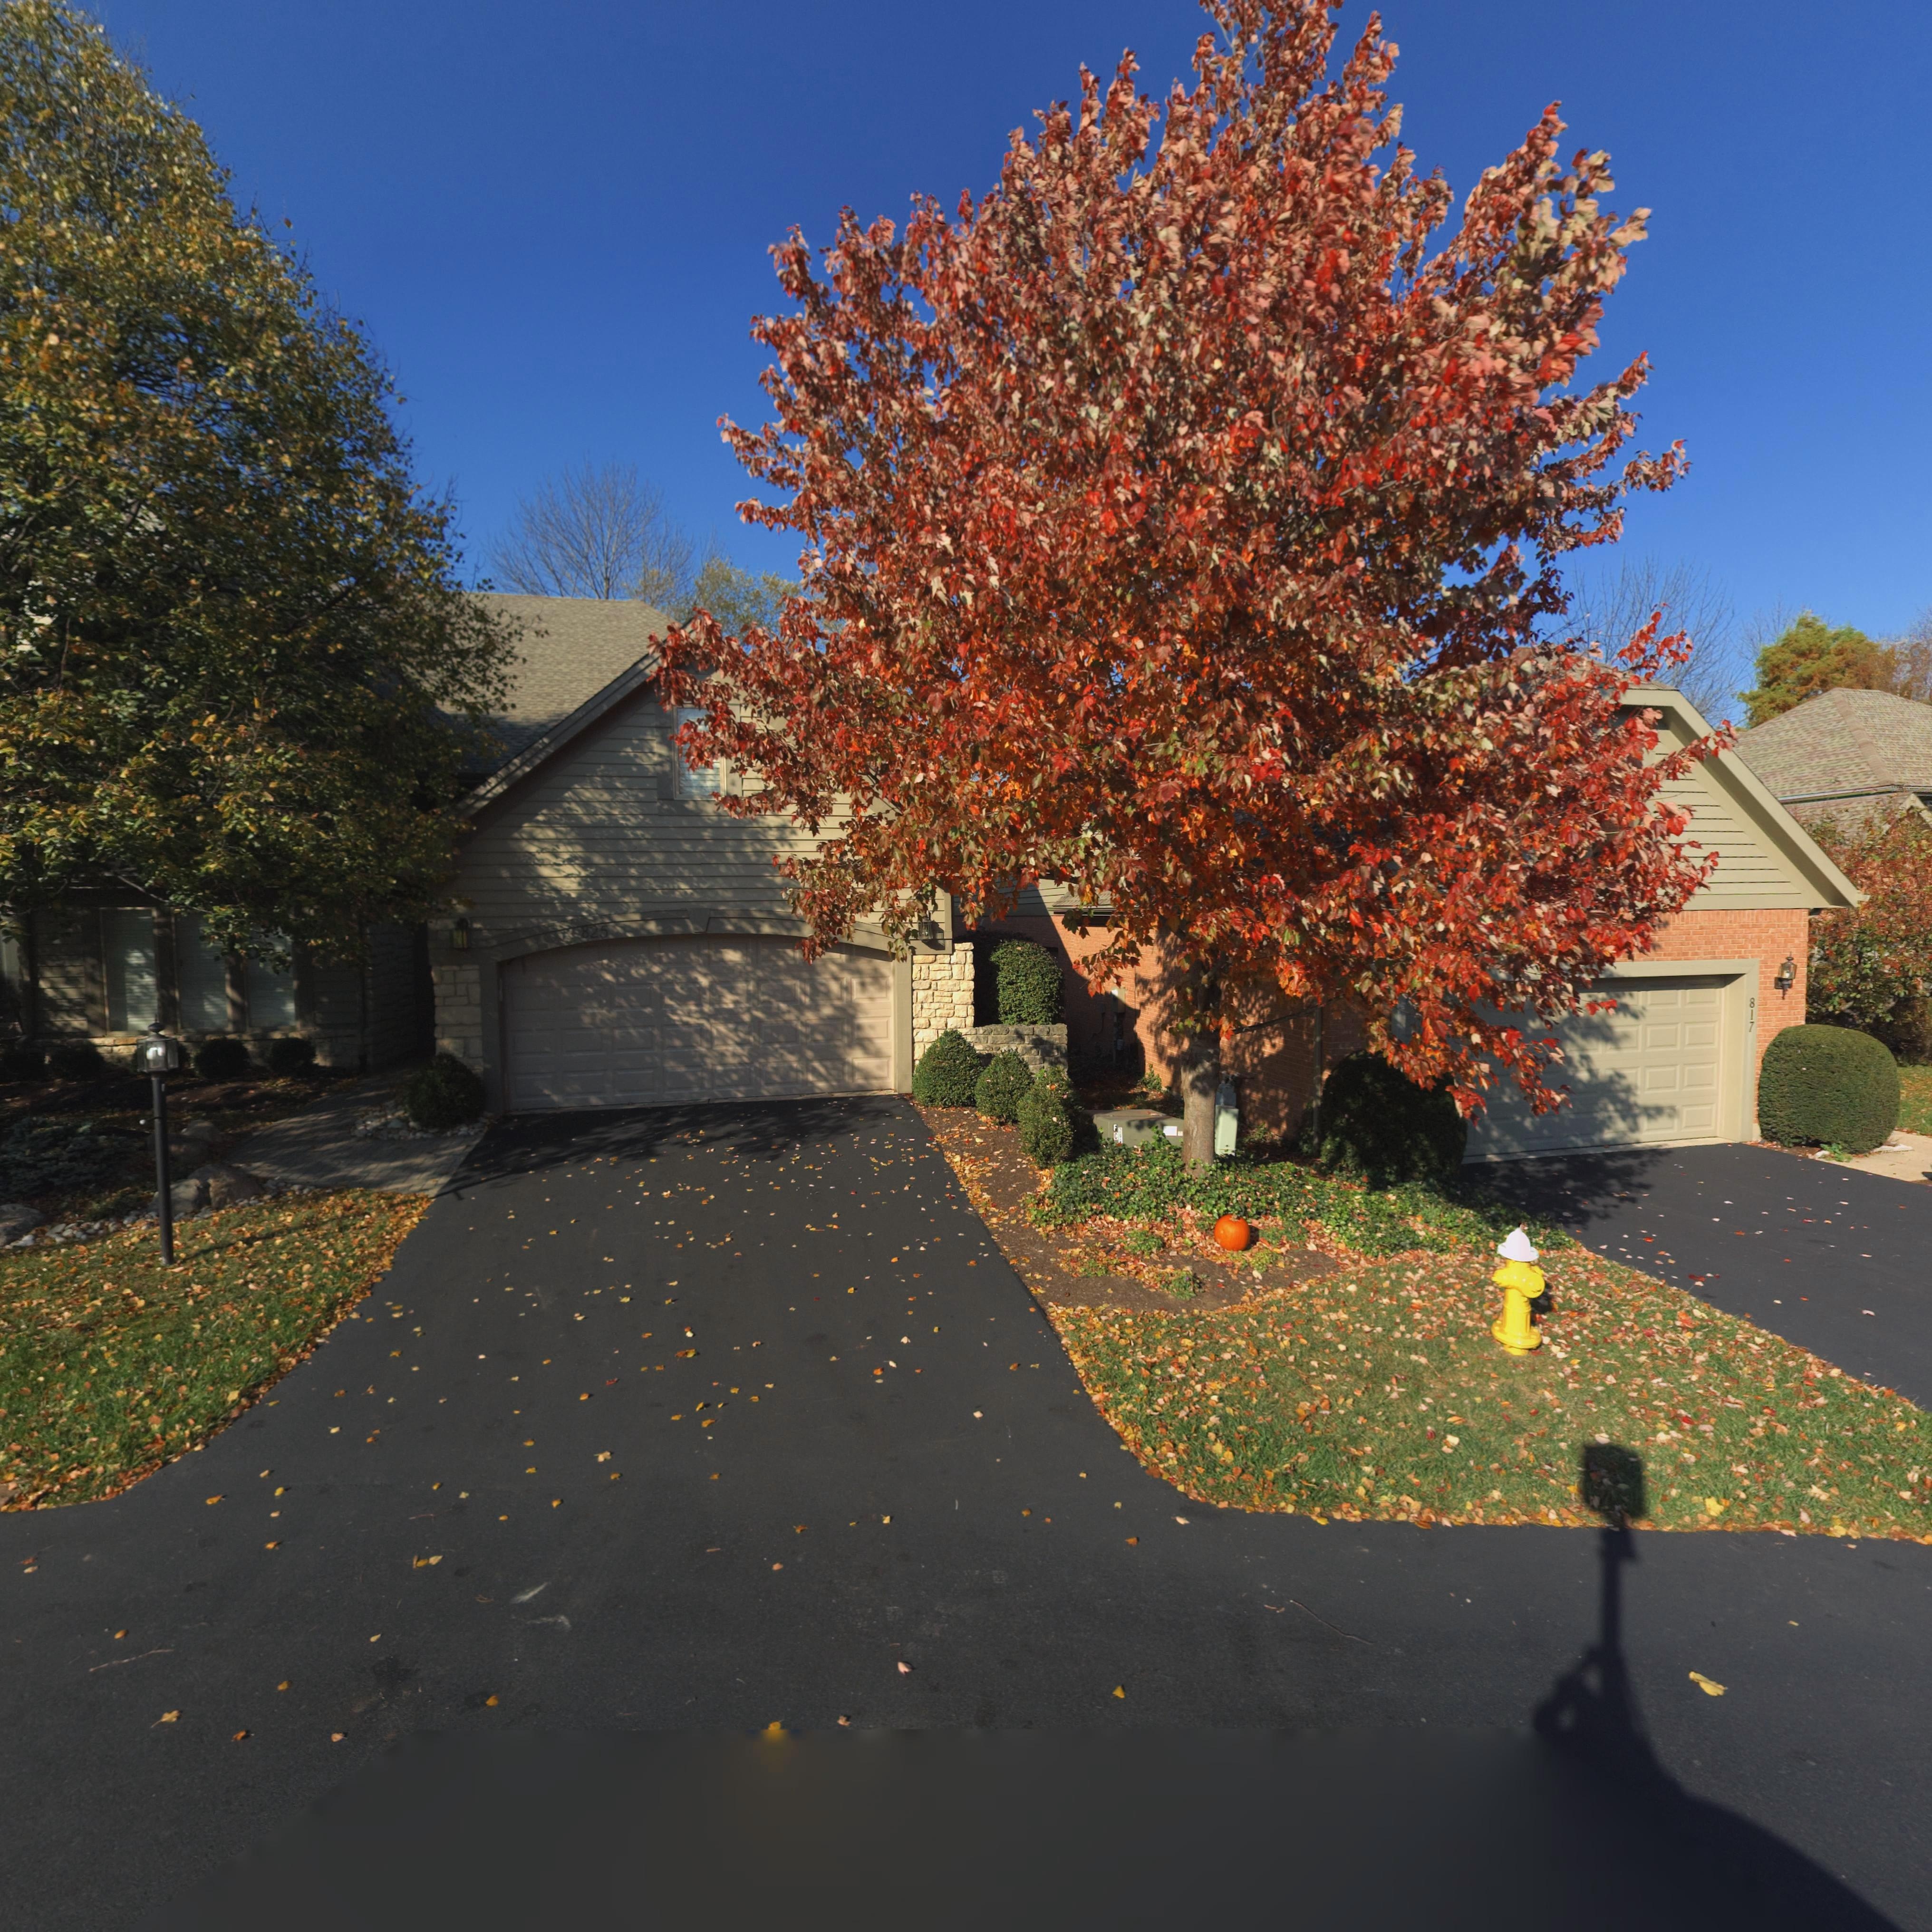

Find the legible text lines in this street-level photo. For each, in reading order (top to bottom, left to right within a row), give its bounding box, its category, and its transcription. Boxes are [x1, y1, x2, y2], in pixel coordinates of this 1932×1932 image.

[581, 924, 609, 939] StreetNumber: 825
[1748, 996, 1756, 1033] StreetNumber: 817